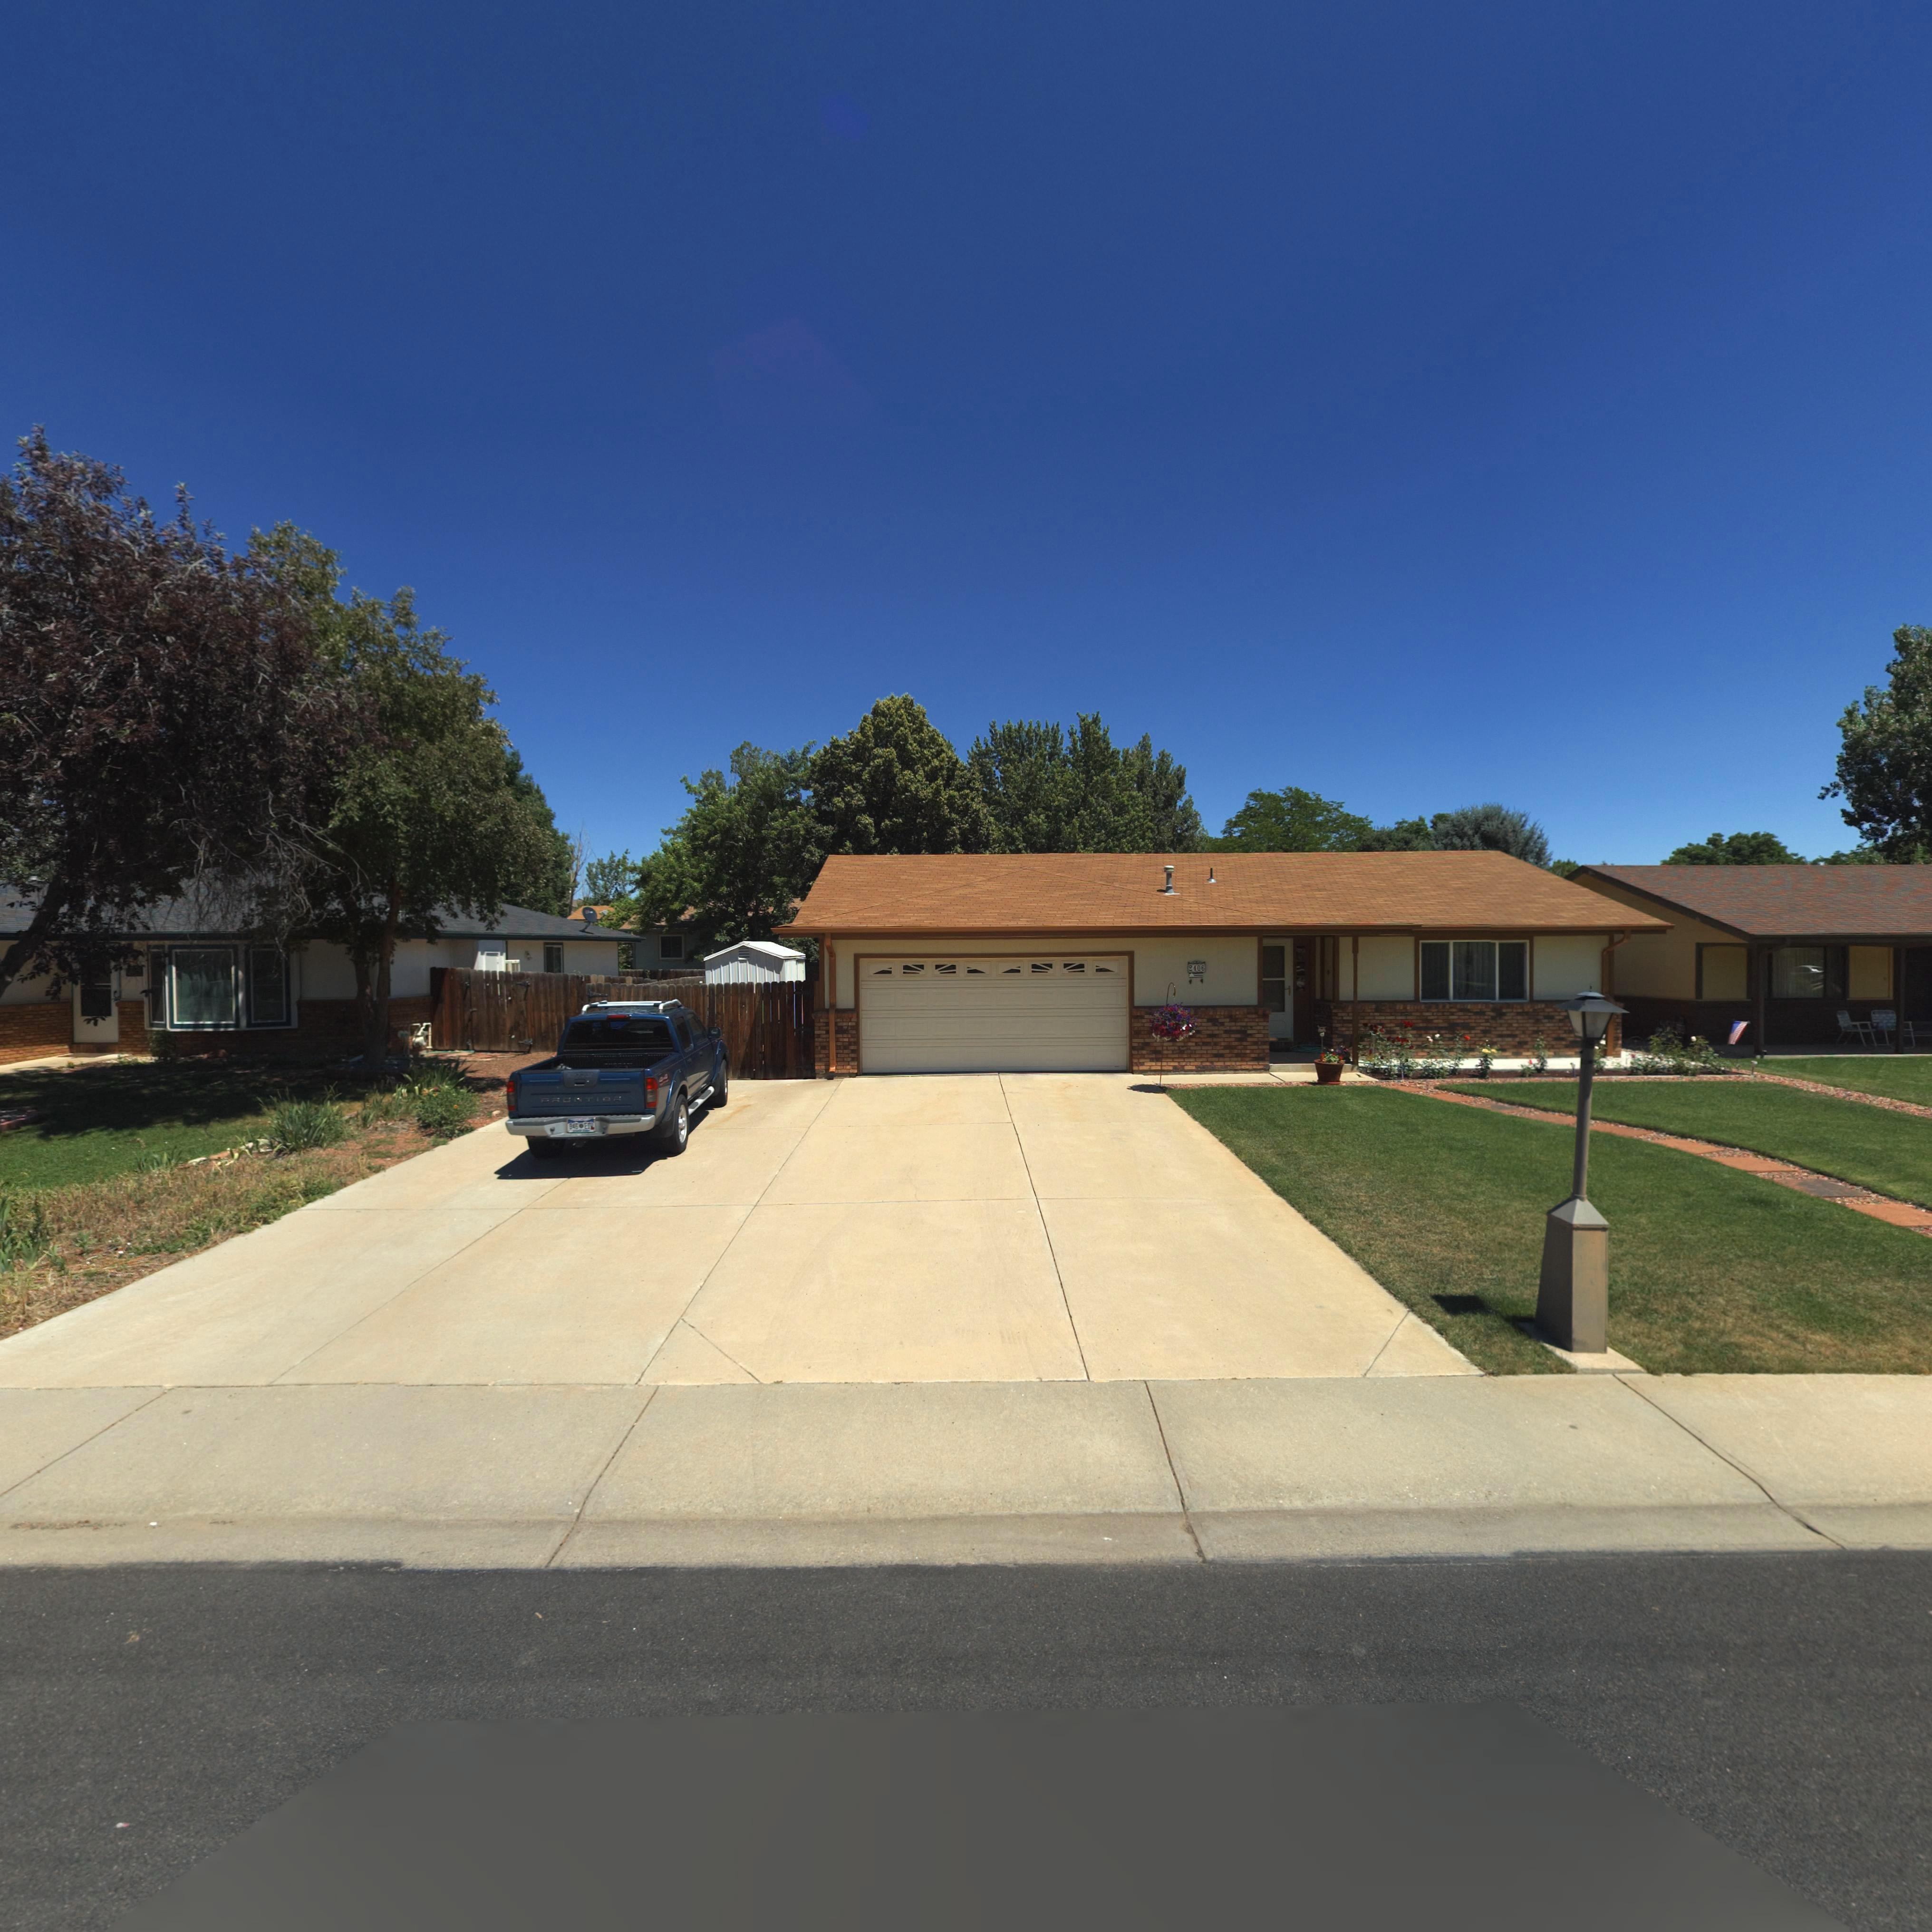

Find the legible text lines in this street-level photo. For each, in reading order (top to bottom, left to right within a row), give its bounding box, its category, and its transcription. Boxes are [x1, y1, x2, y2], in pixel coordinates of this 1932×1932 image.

[1189, 964, 1205, 971] StreetNumber: 2406